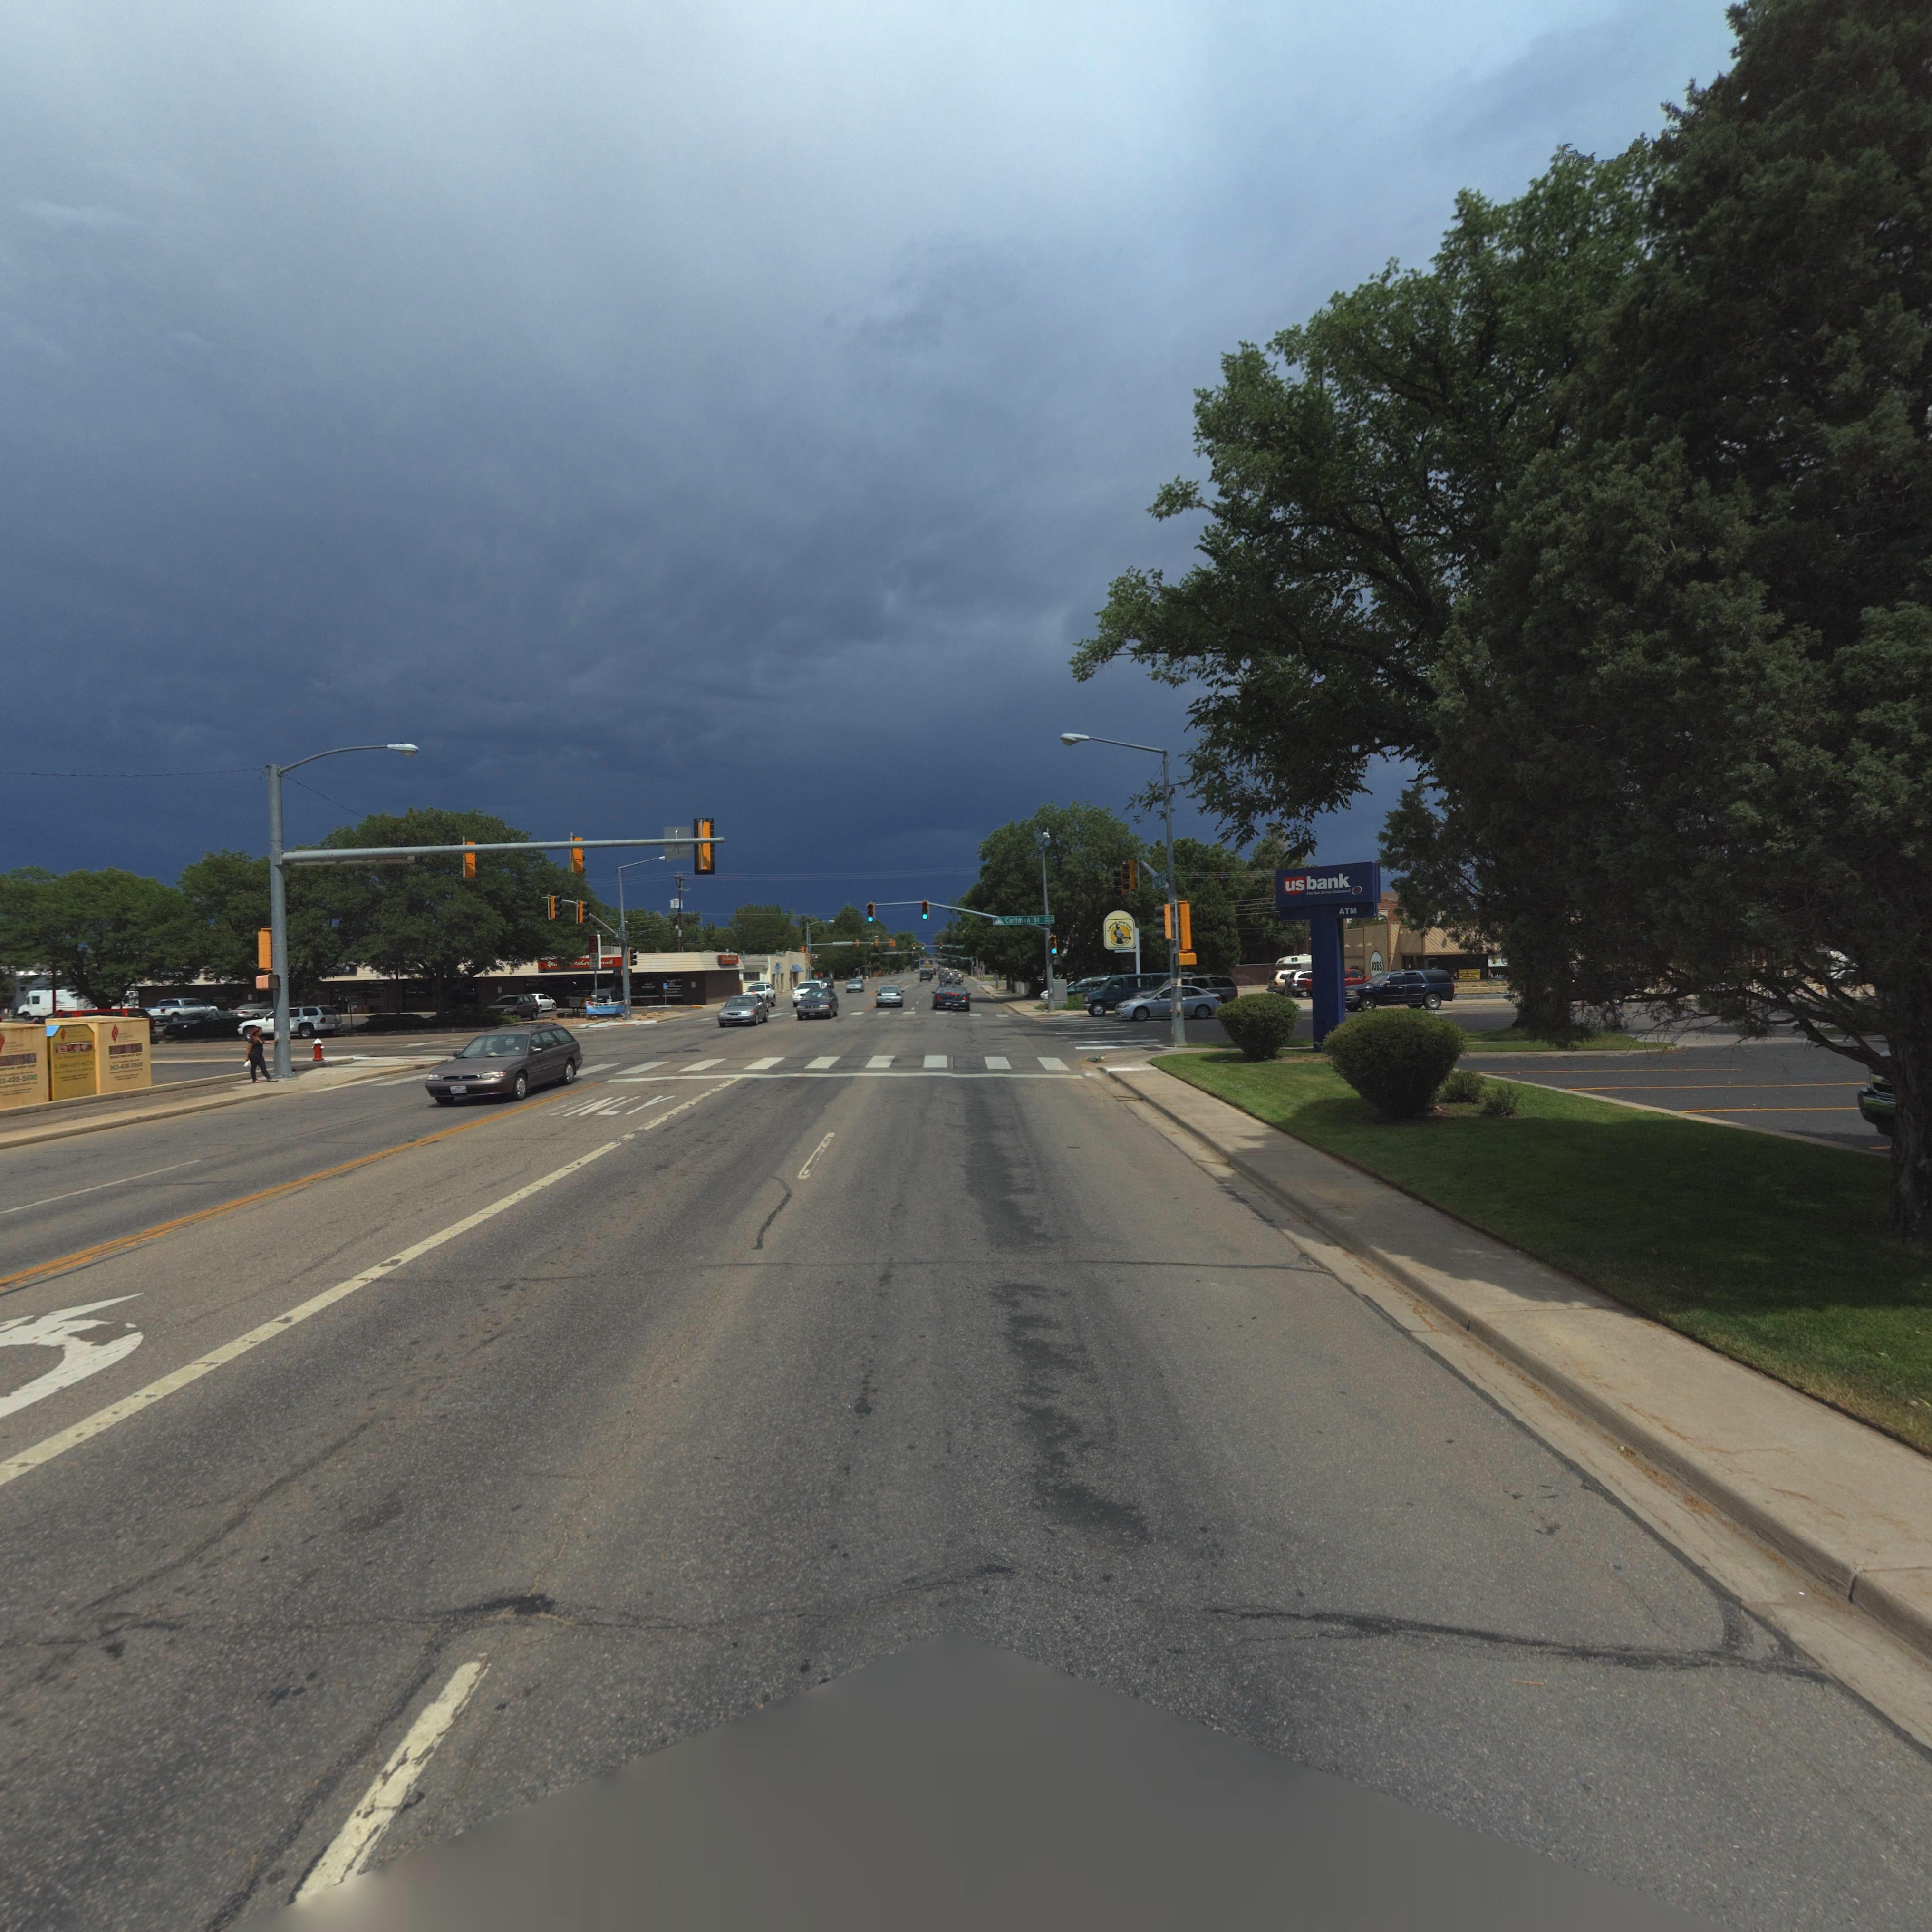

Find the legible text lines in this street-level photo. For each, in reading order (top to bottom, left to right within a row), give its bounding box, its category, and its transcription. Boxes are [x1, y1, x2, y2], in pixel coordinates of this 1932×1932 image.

[1285, 873, 1351, 891] BusinessName: usbank
[1005, 917, 1039, 923] StreetName: Coffman St
[1107, 920, 1133, 932] BusinessName: LA*O* SYST*M*
[547, 958, 613, 968] BusinessName: You* **tcher **ank